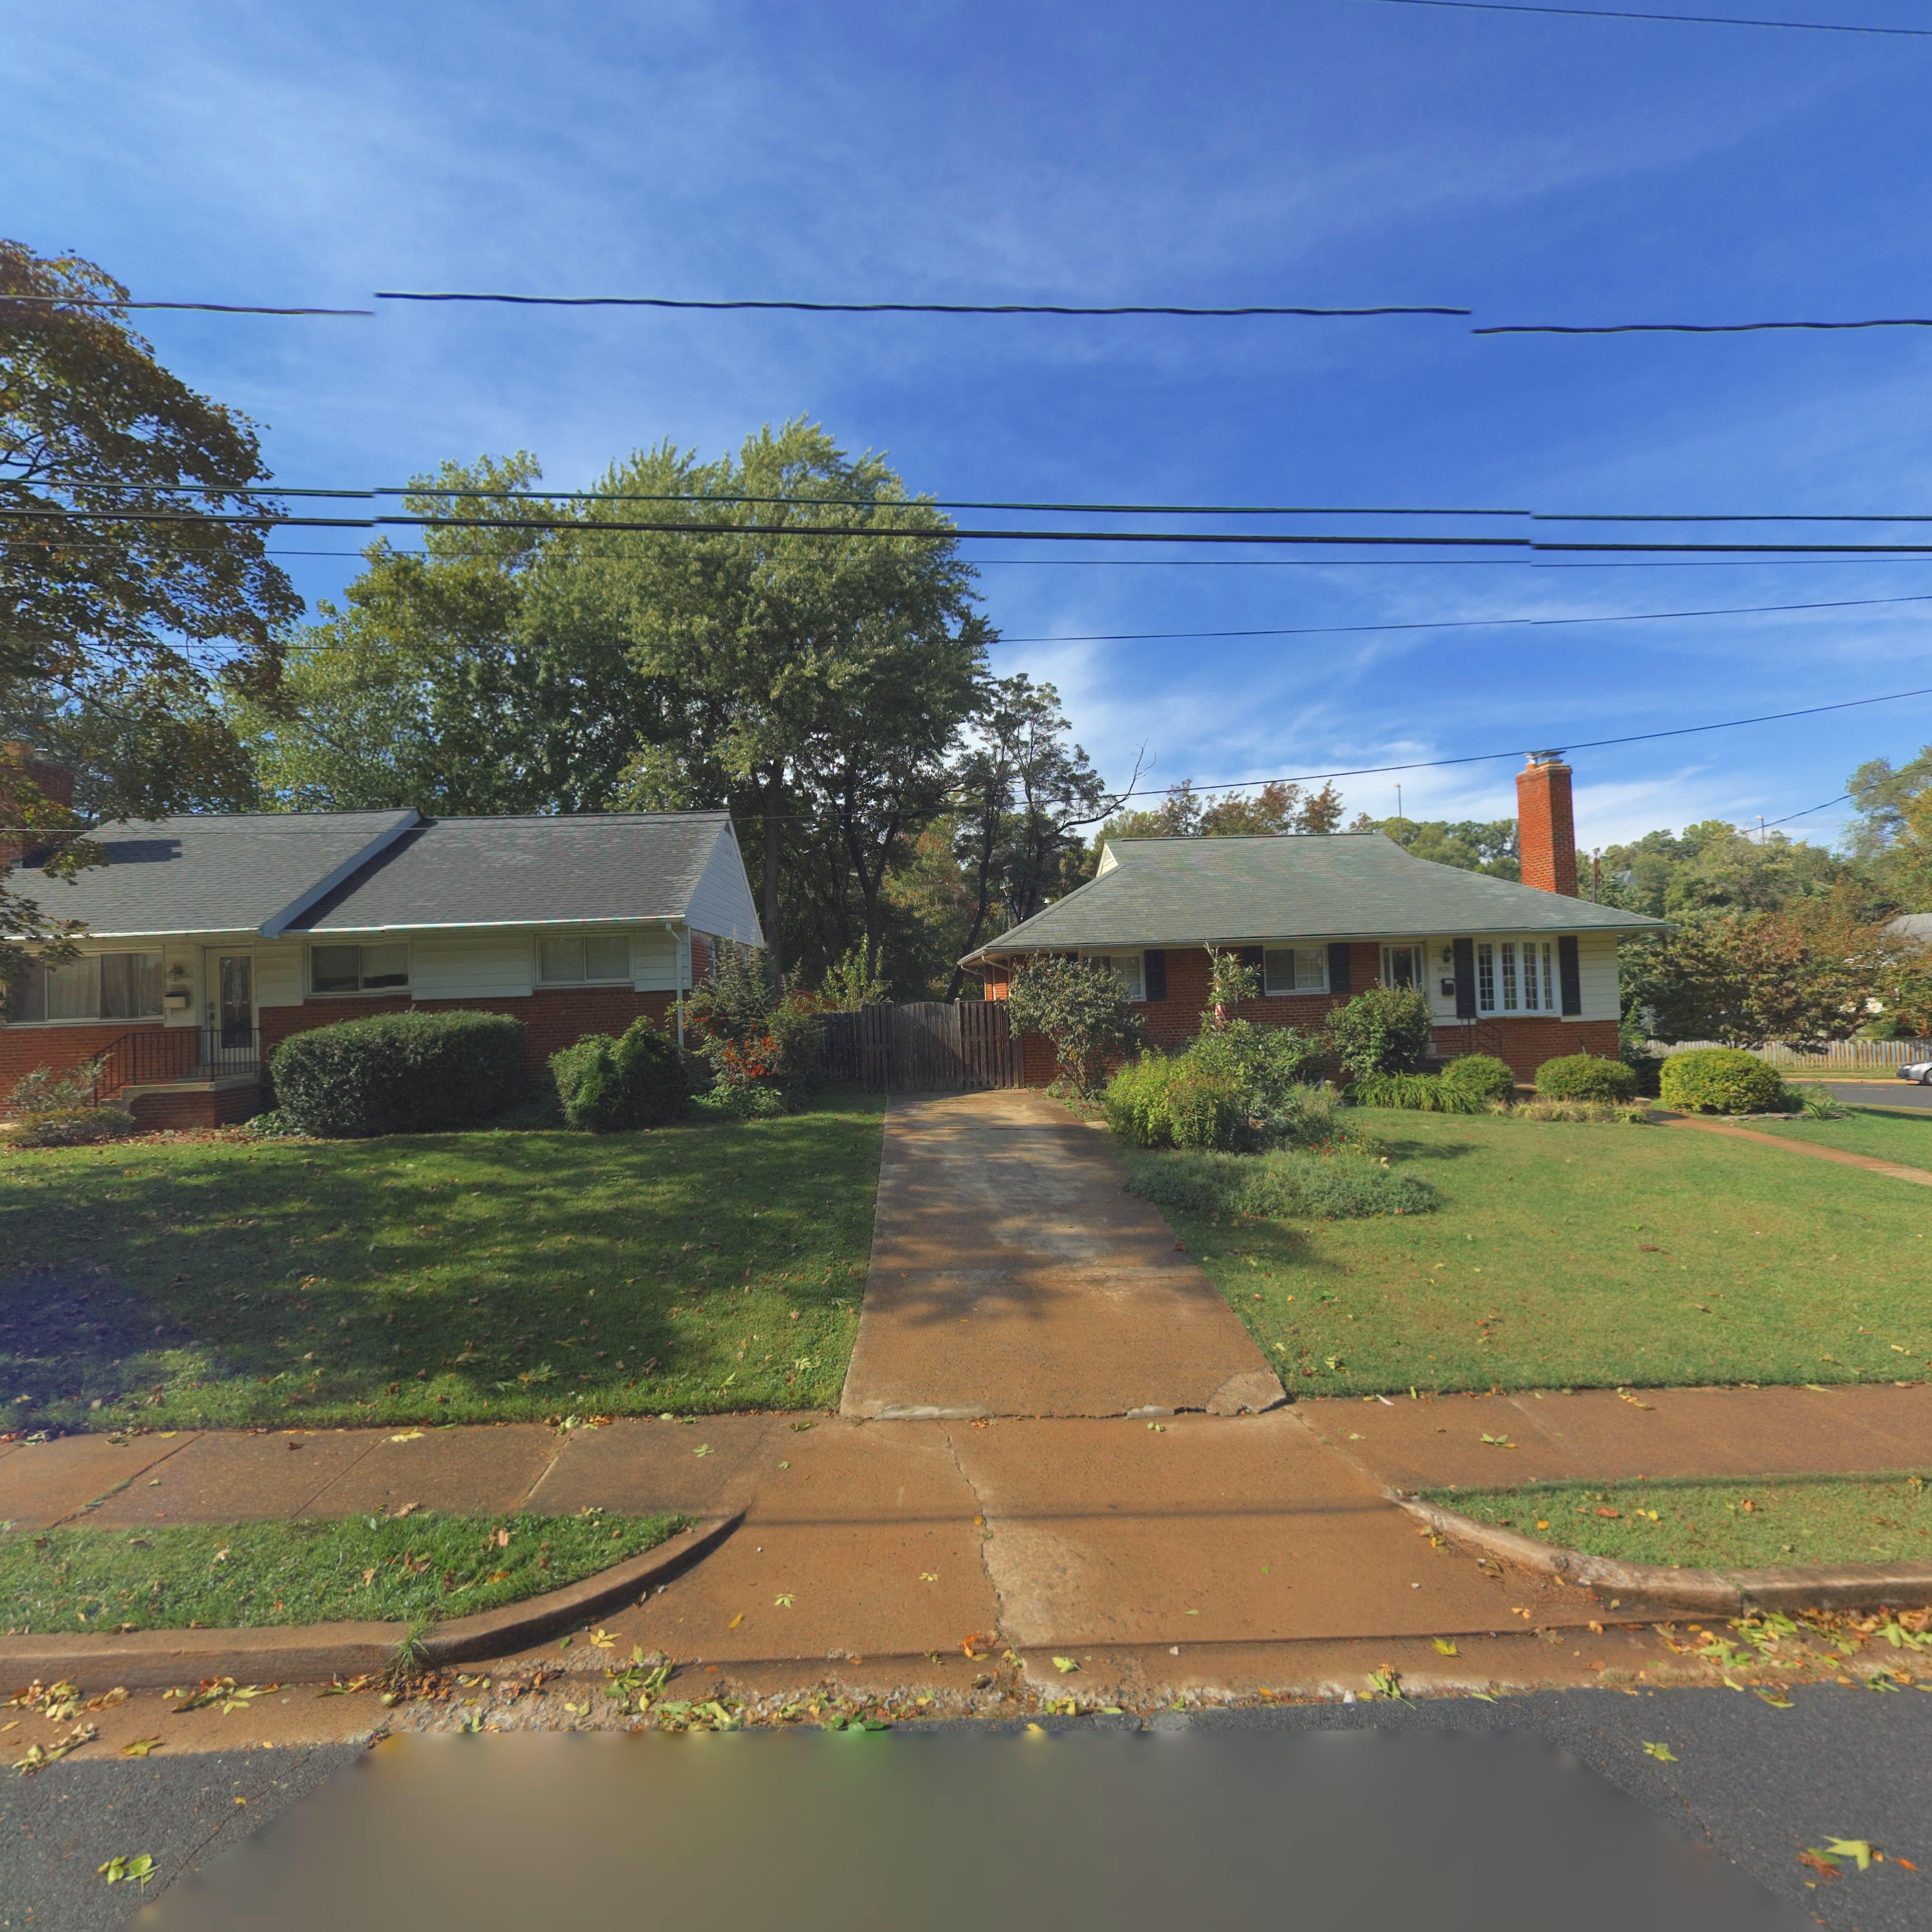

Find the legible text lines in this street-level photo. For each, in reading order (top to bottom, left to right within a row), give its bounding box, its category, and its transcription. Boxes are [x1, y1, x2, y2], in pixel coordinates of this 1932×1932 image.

[1437, 966, 1452, 972] StreetNumber: 1800
[170, 984, 187, 992] StreetNumber: ***5